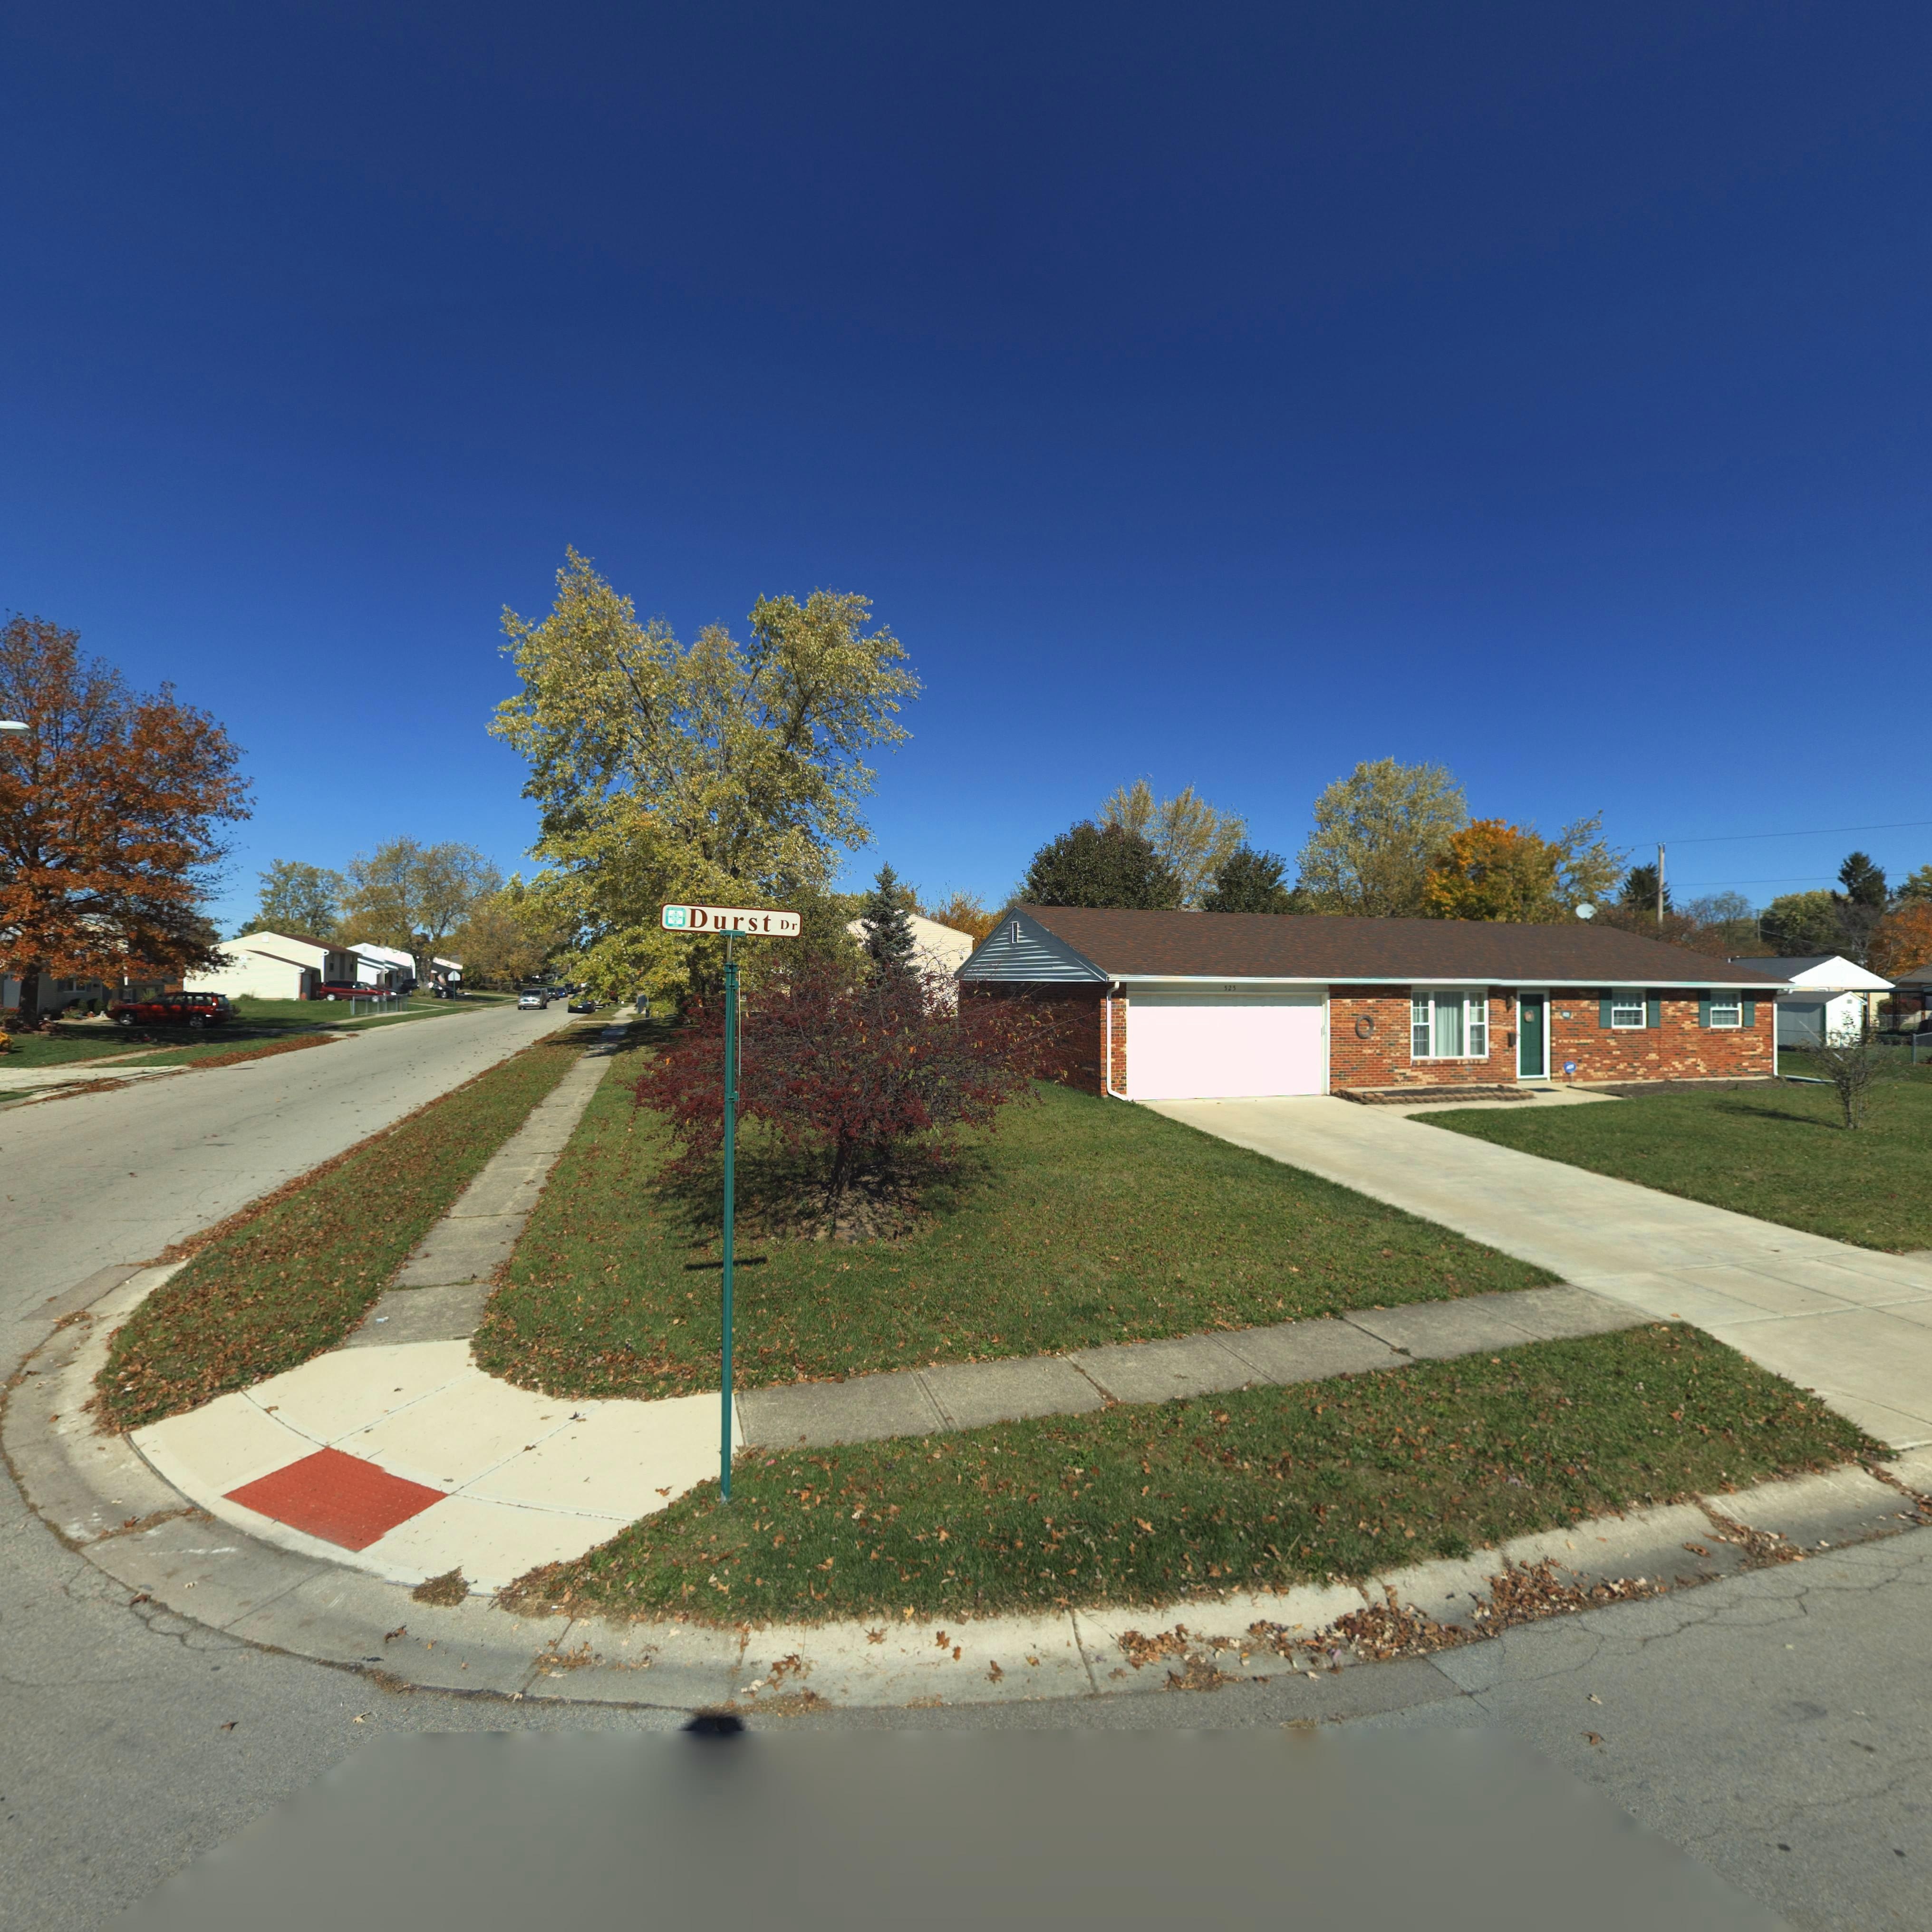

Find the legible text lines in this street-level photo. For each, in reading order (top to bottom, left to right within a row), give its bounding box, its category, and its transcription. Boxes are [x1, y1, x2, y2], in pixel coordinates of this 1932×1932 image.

[686, 907, 798, 933] StreetName: Durst Dr
[1223, 984, 1237, 993] StreetNumber: 525